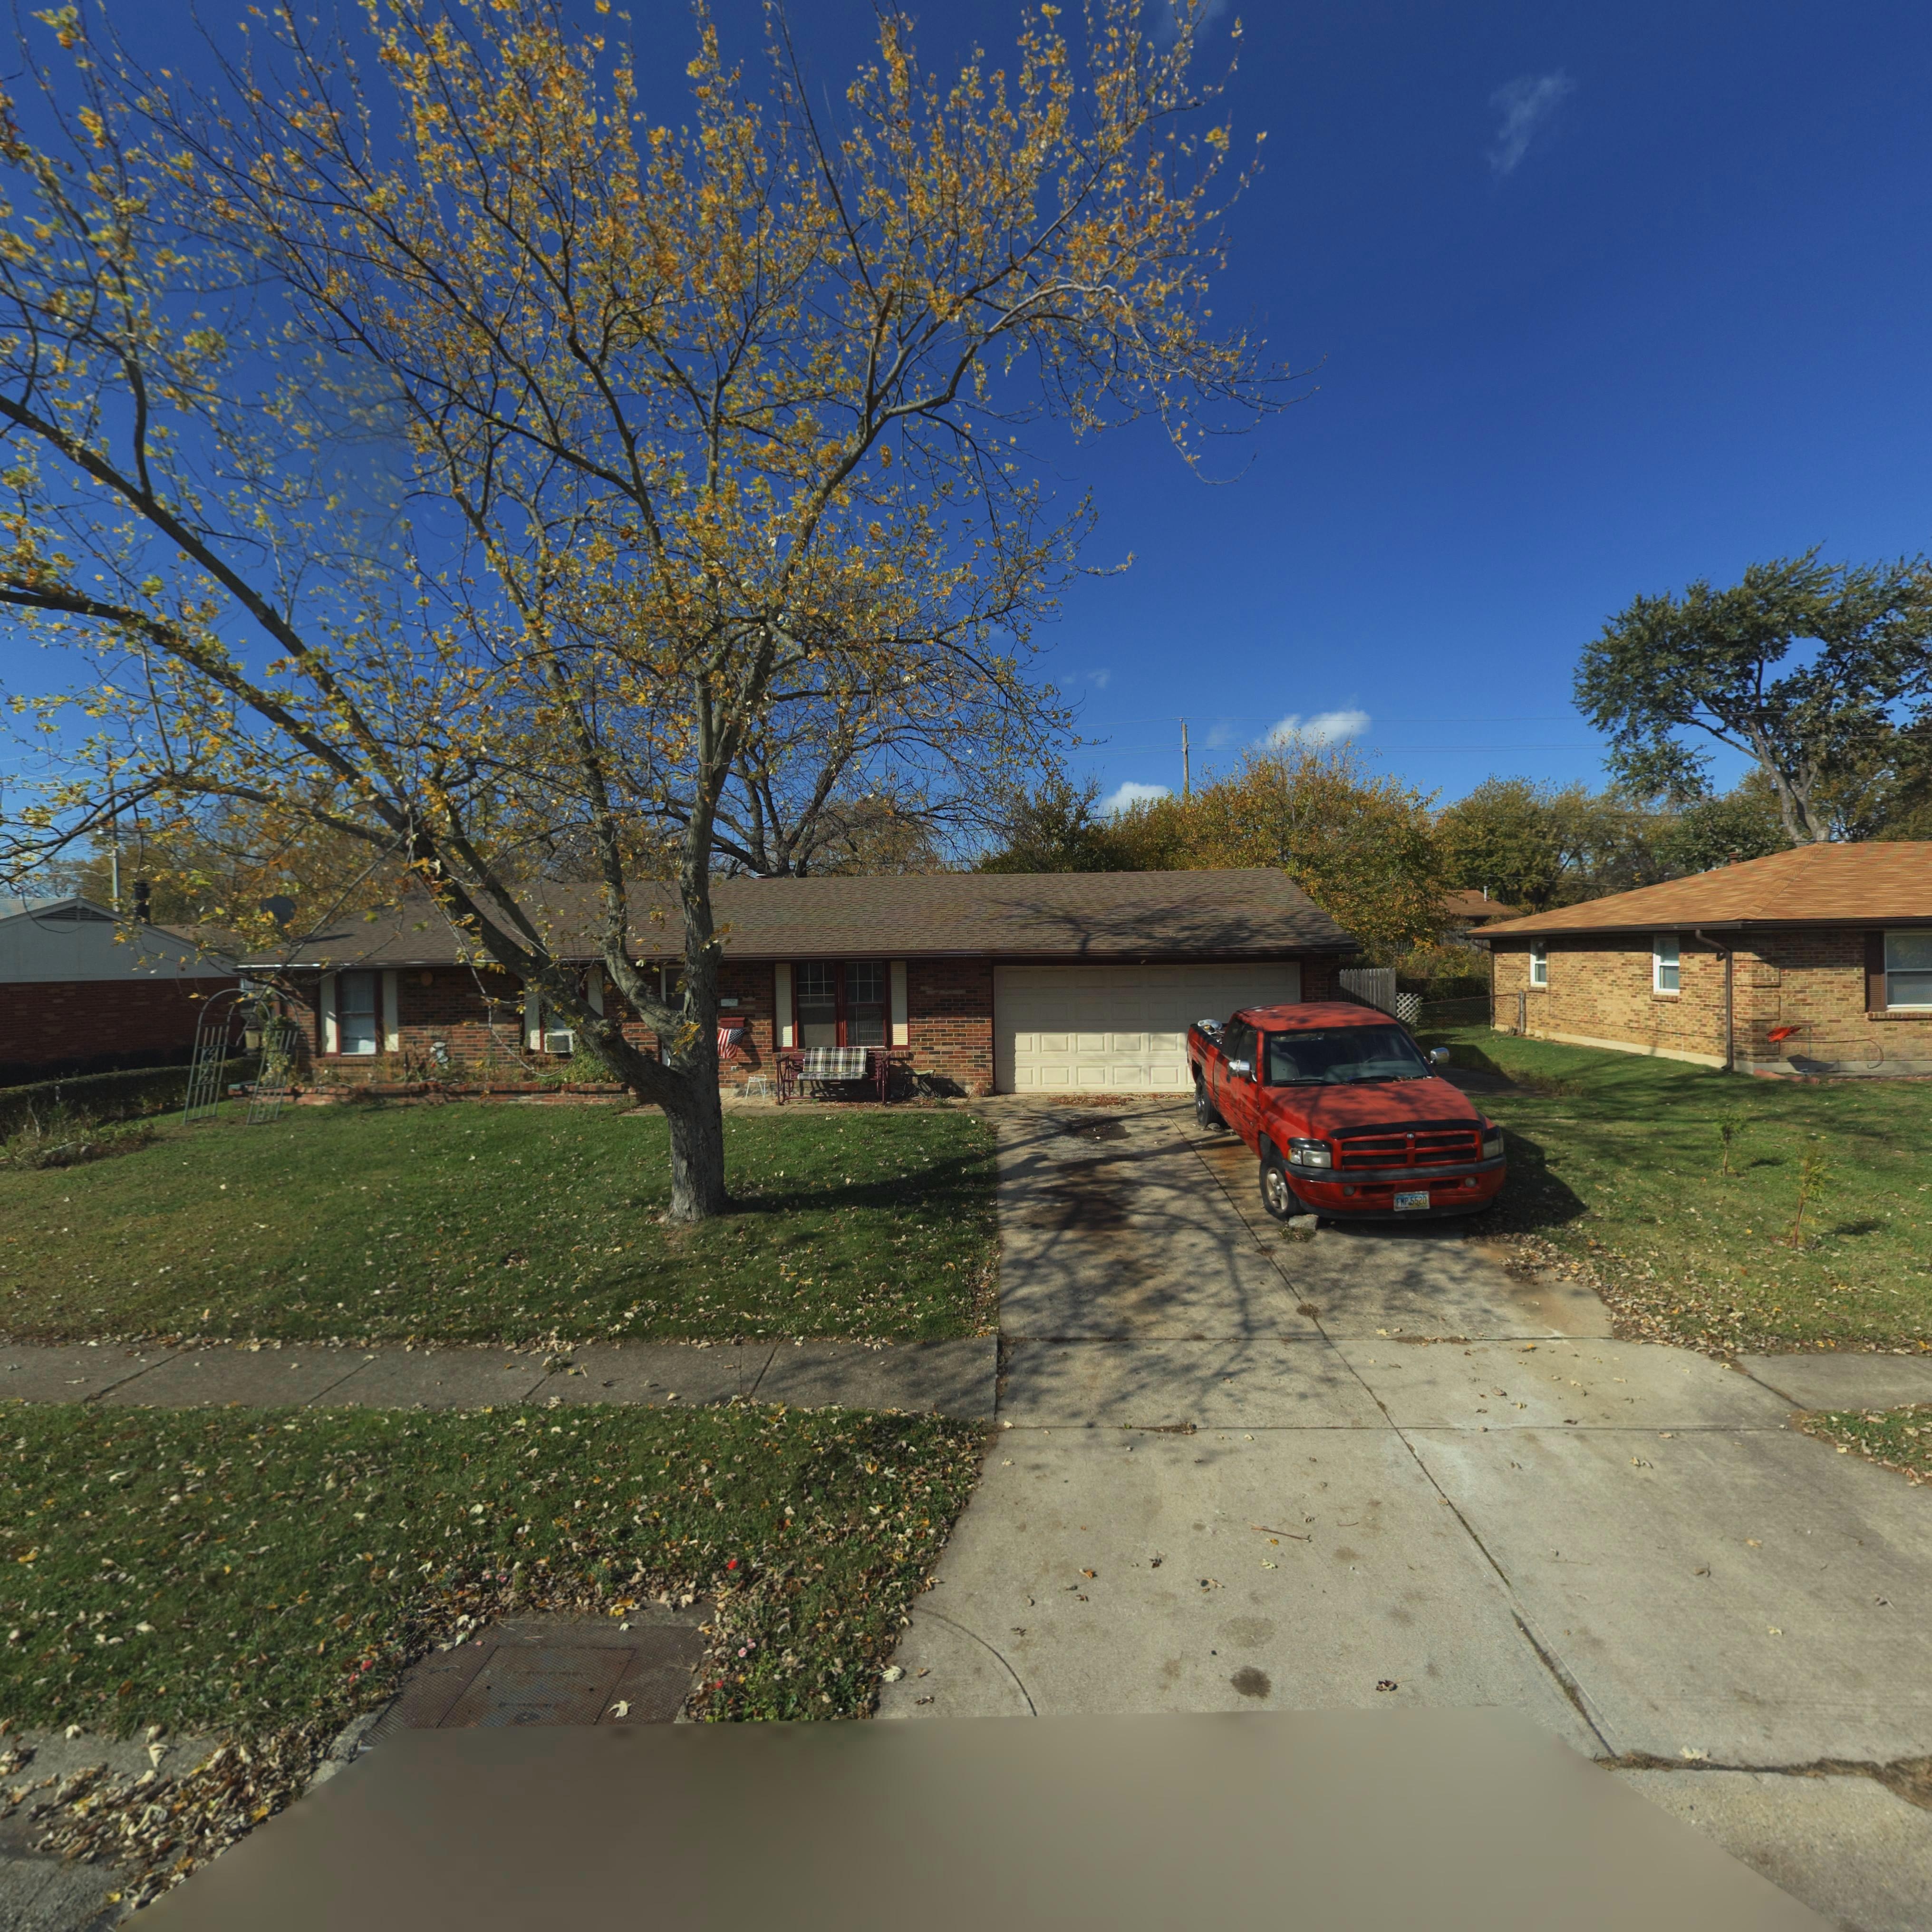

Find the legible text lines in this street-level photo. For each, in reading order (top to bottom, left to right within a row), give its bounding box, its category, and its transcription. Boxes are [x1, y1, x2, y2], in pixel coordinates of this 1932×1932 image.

[724, 987, 757, 1001] StreetNumber: 7701